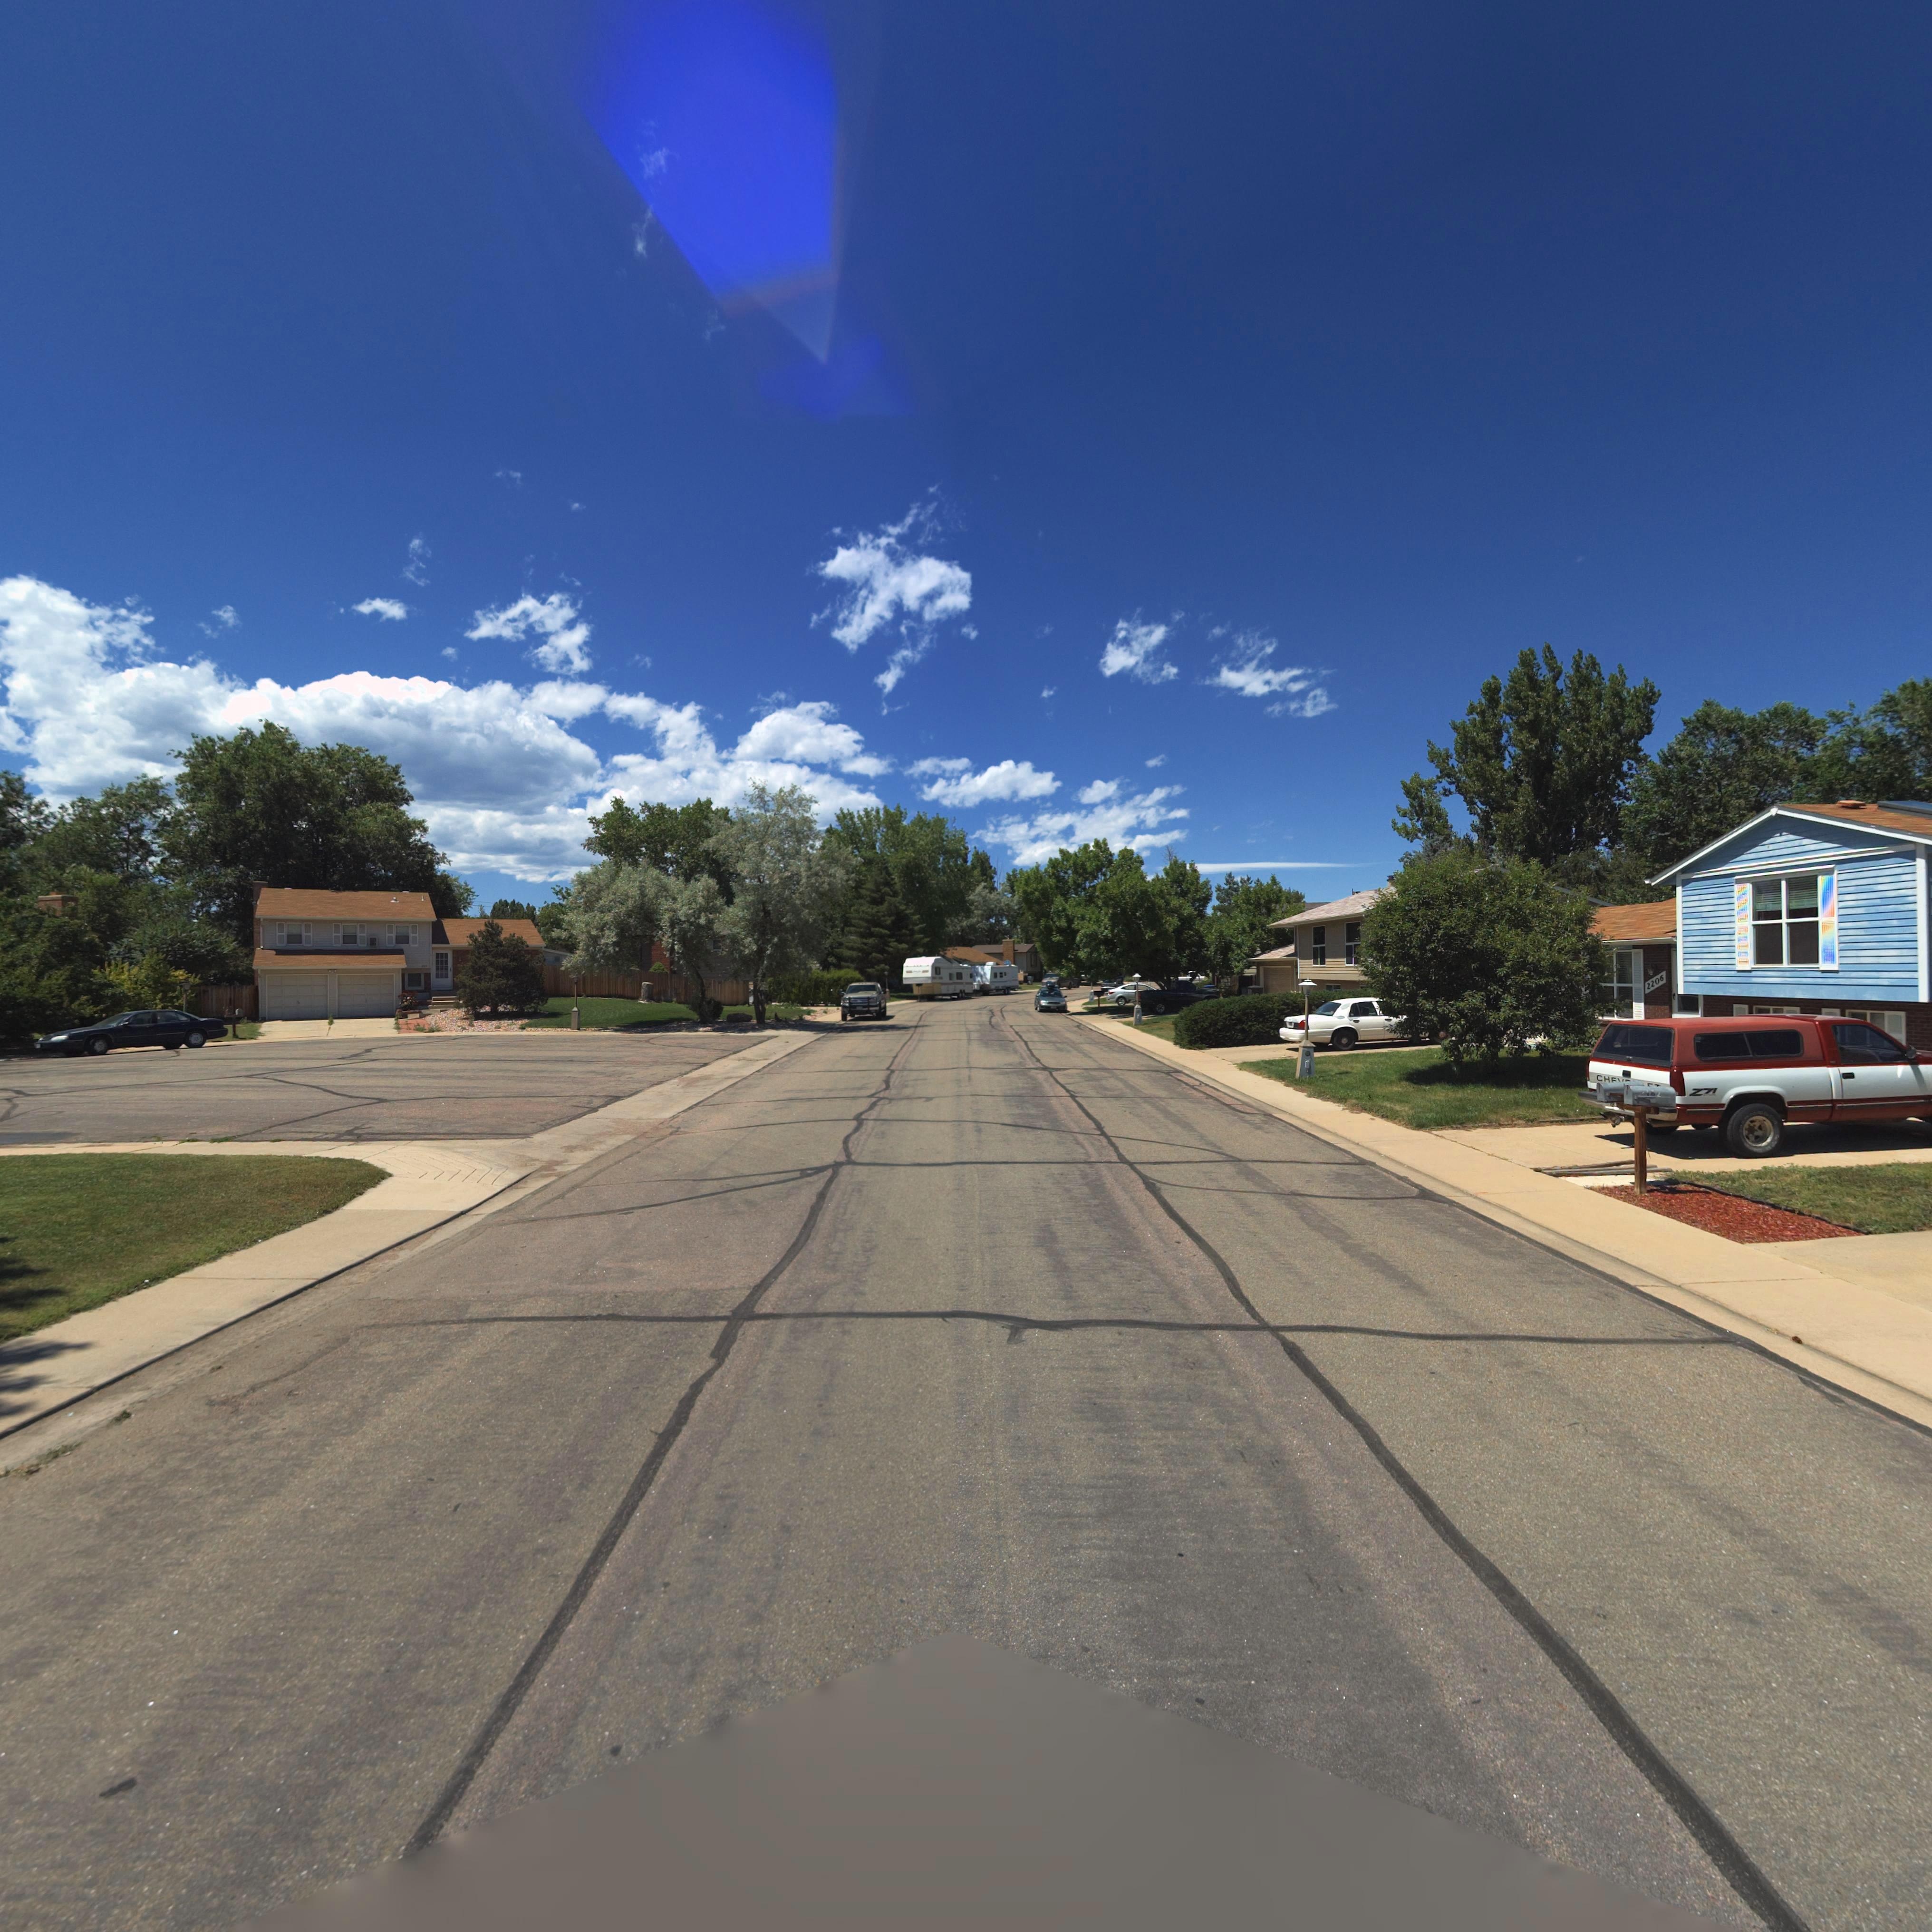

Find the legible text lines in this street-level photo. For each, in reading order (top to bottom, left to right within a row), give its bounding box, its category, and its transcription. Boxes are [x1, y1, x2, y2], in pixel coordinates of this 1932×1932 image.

[1646, 974, 1664, 991] StreetNumber: 2206